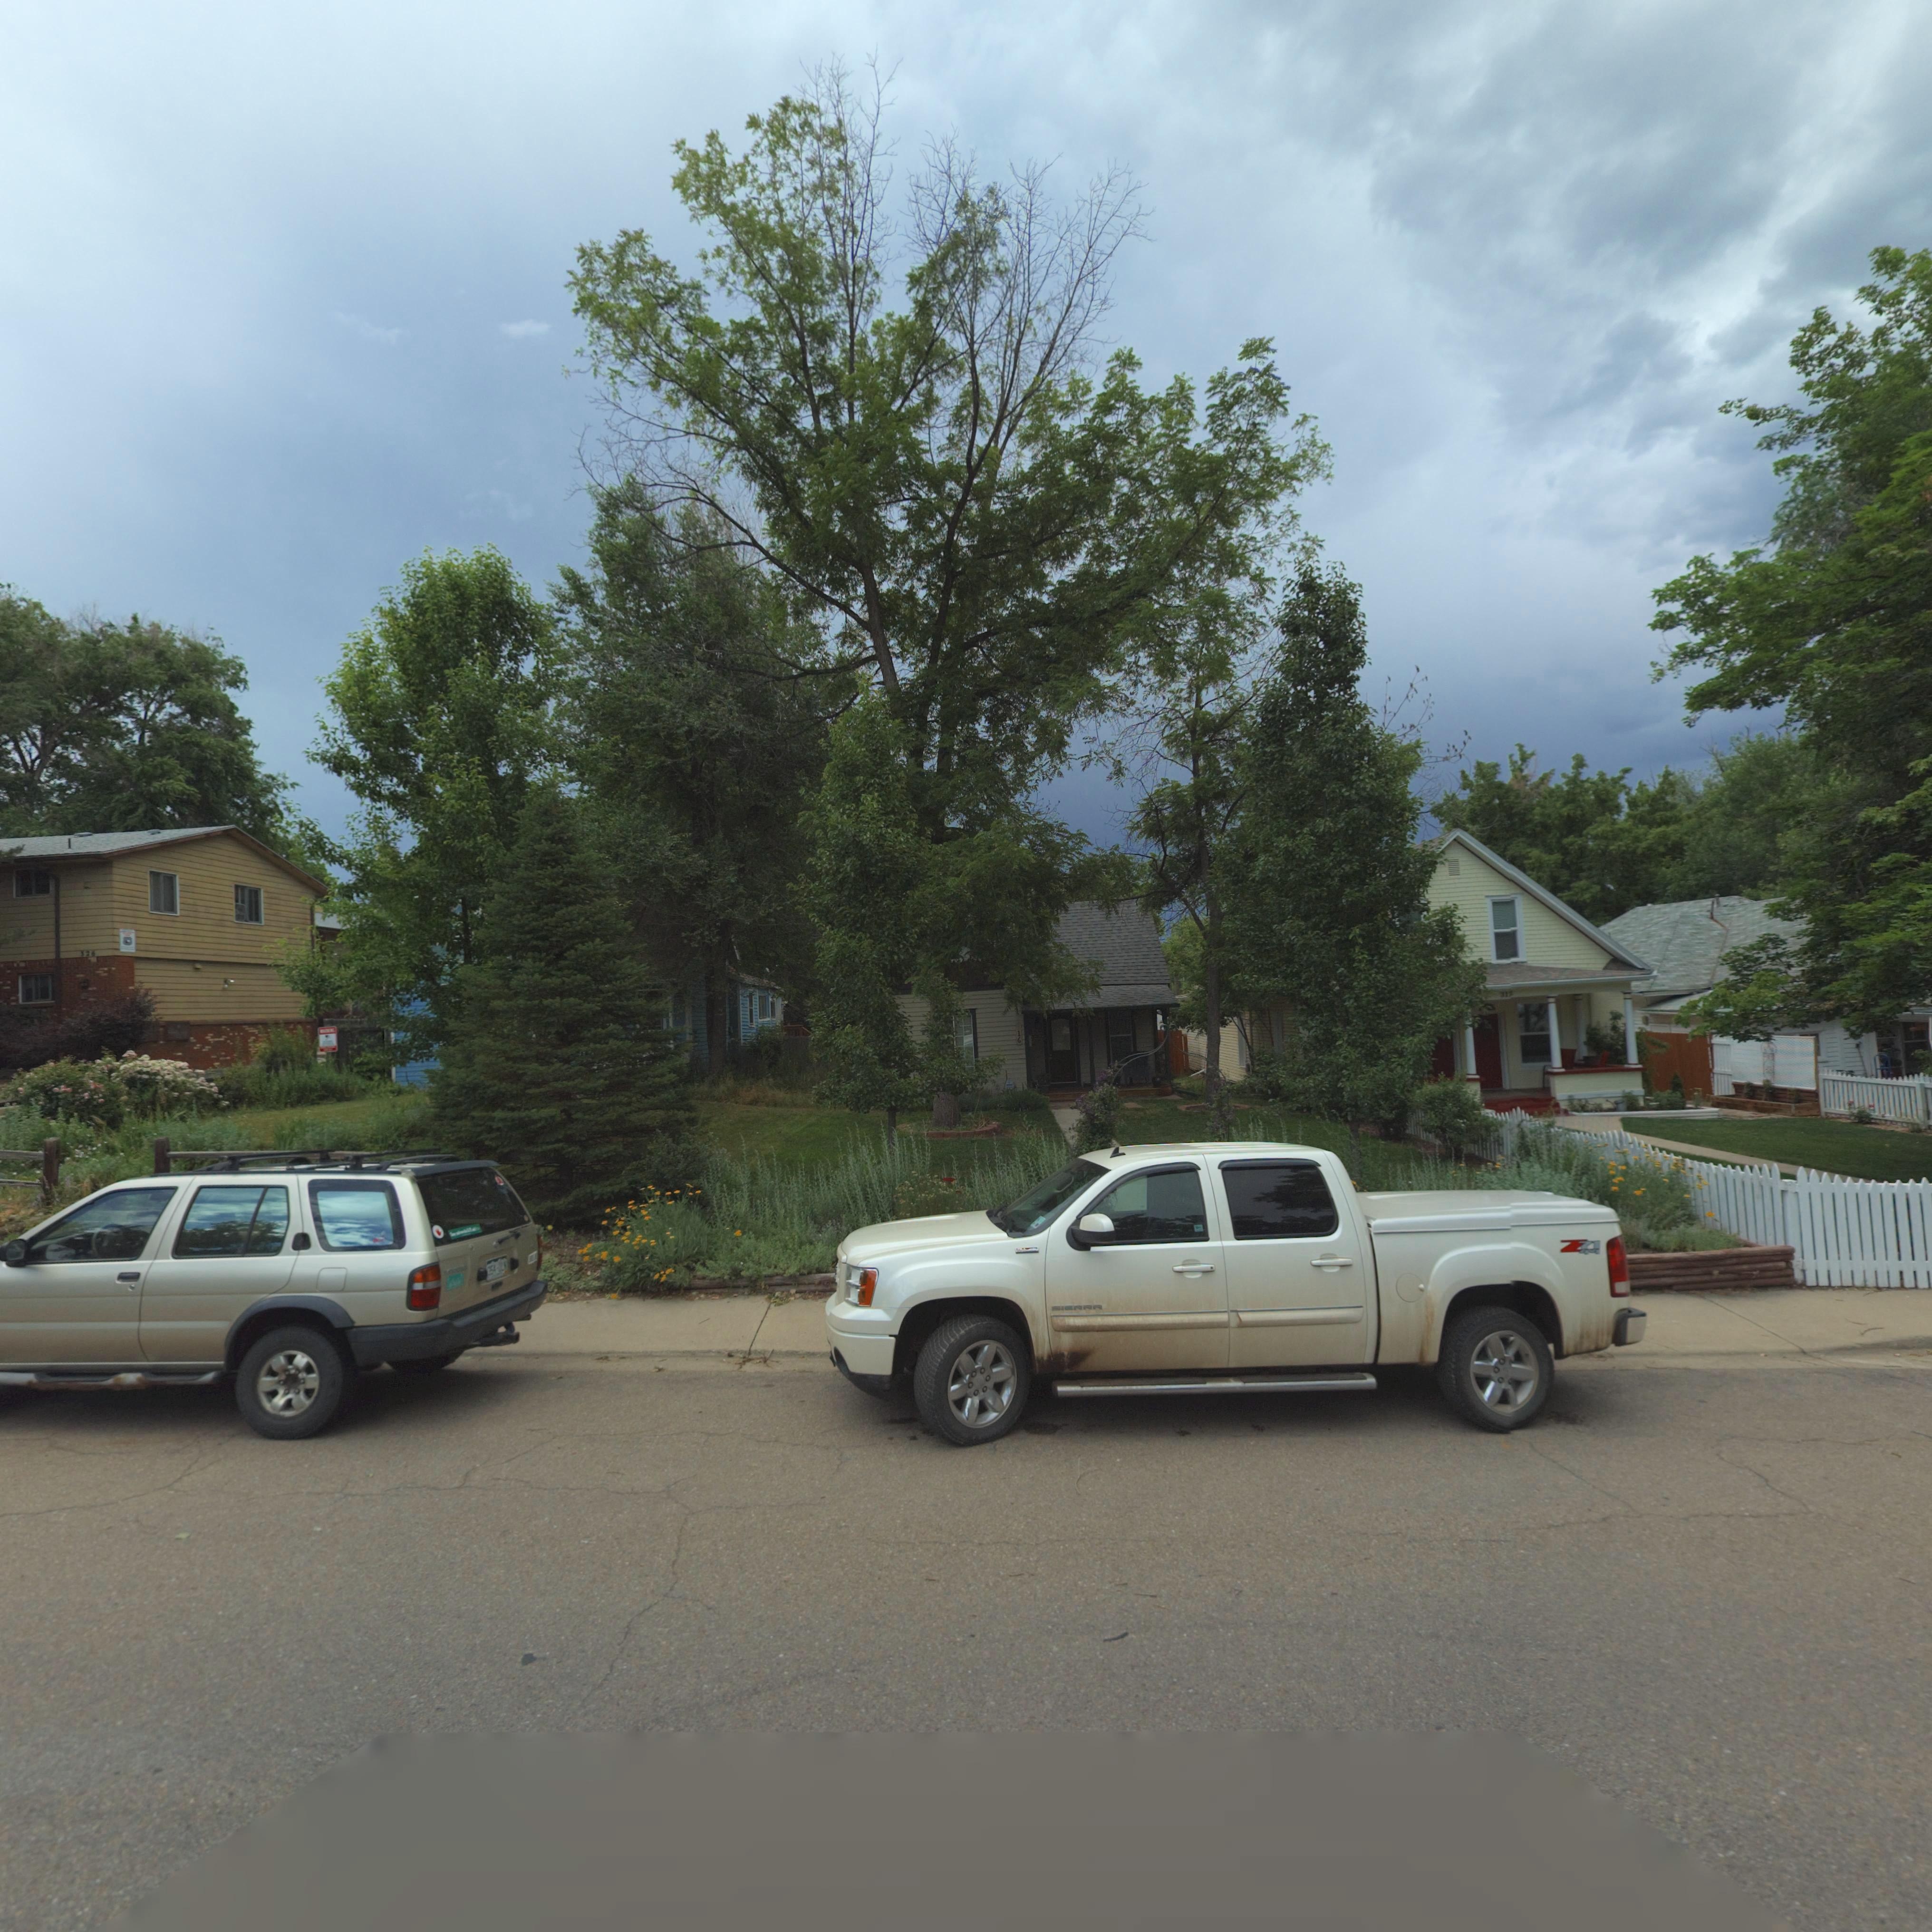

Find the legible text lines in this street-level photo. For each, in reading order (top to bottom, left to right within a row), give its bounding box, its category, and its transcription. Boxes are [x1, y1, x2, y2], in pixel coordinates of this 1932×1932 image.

[1499, 990, 1514, 997] StreetNumber: 312